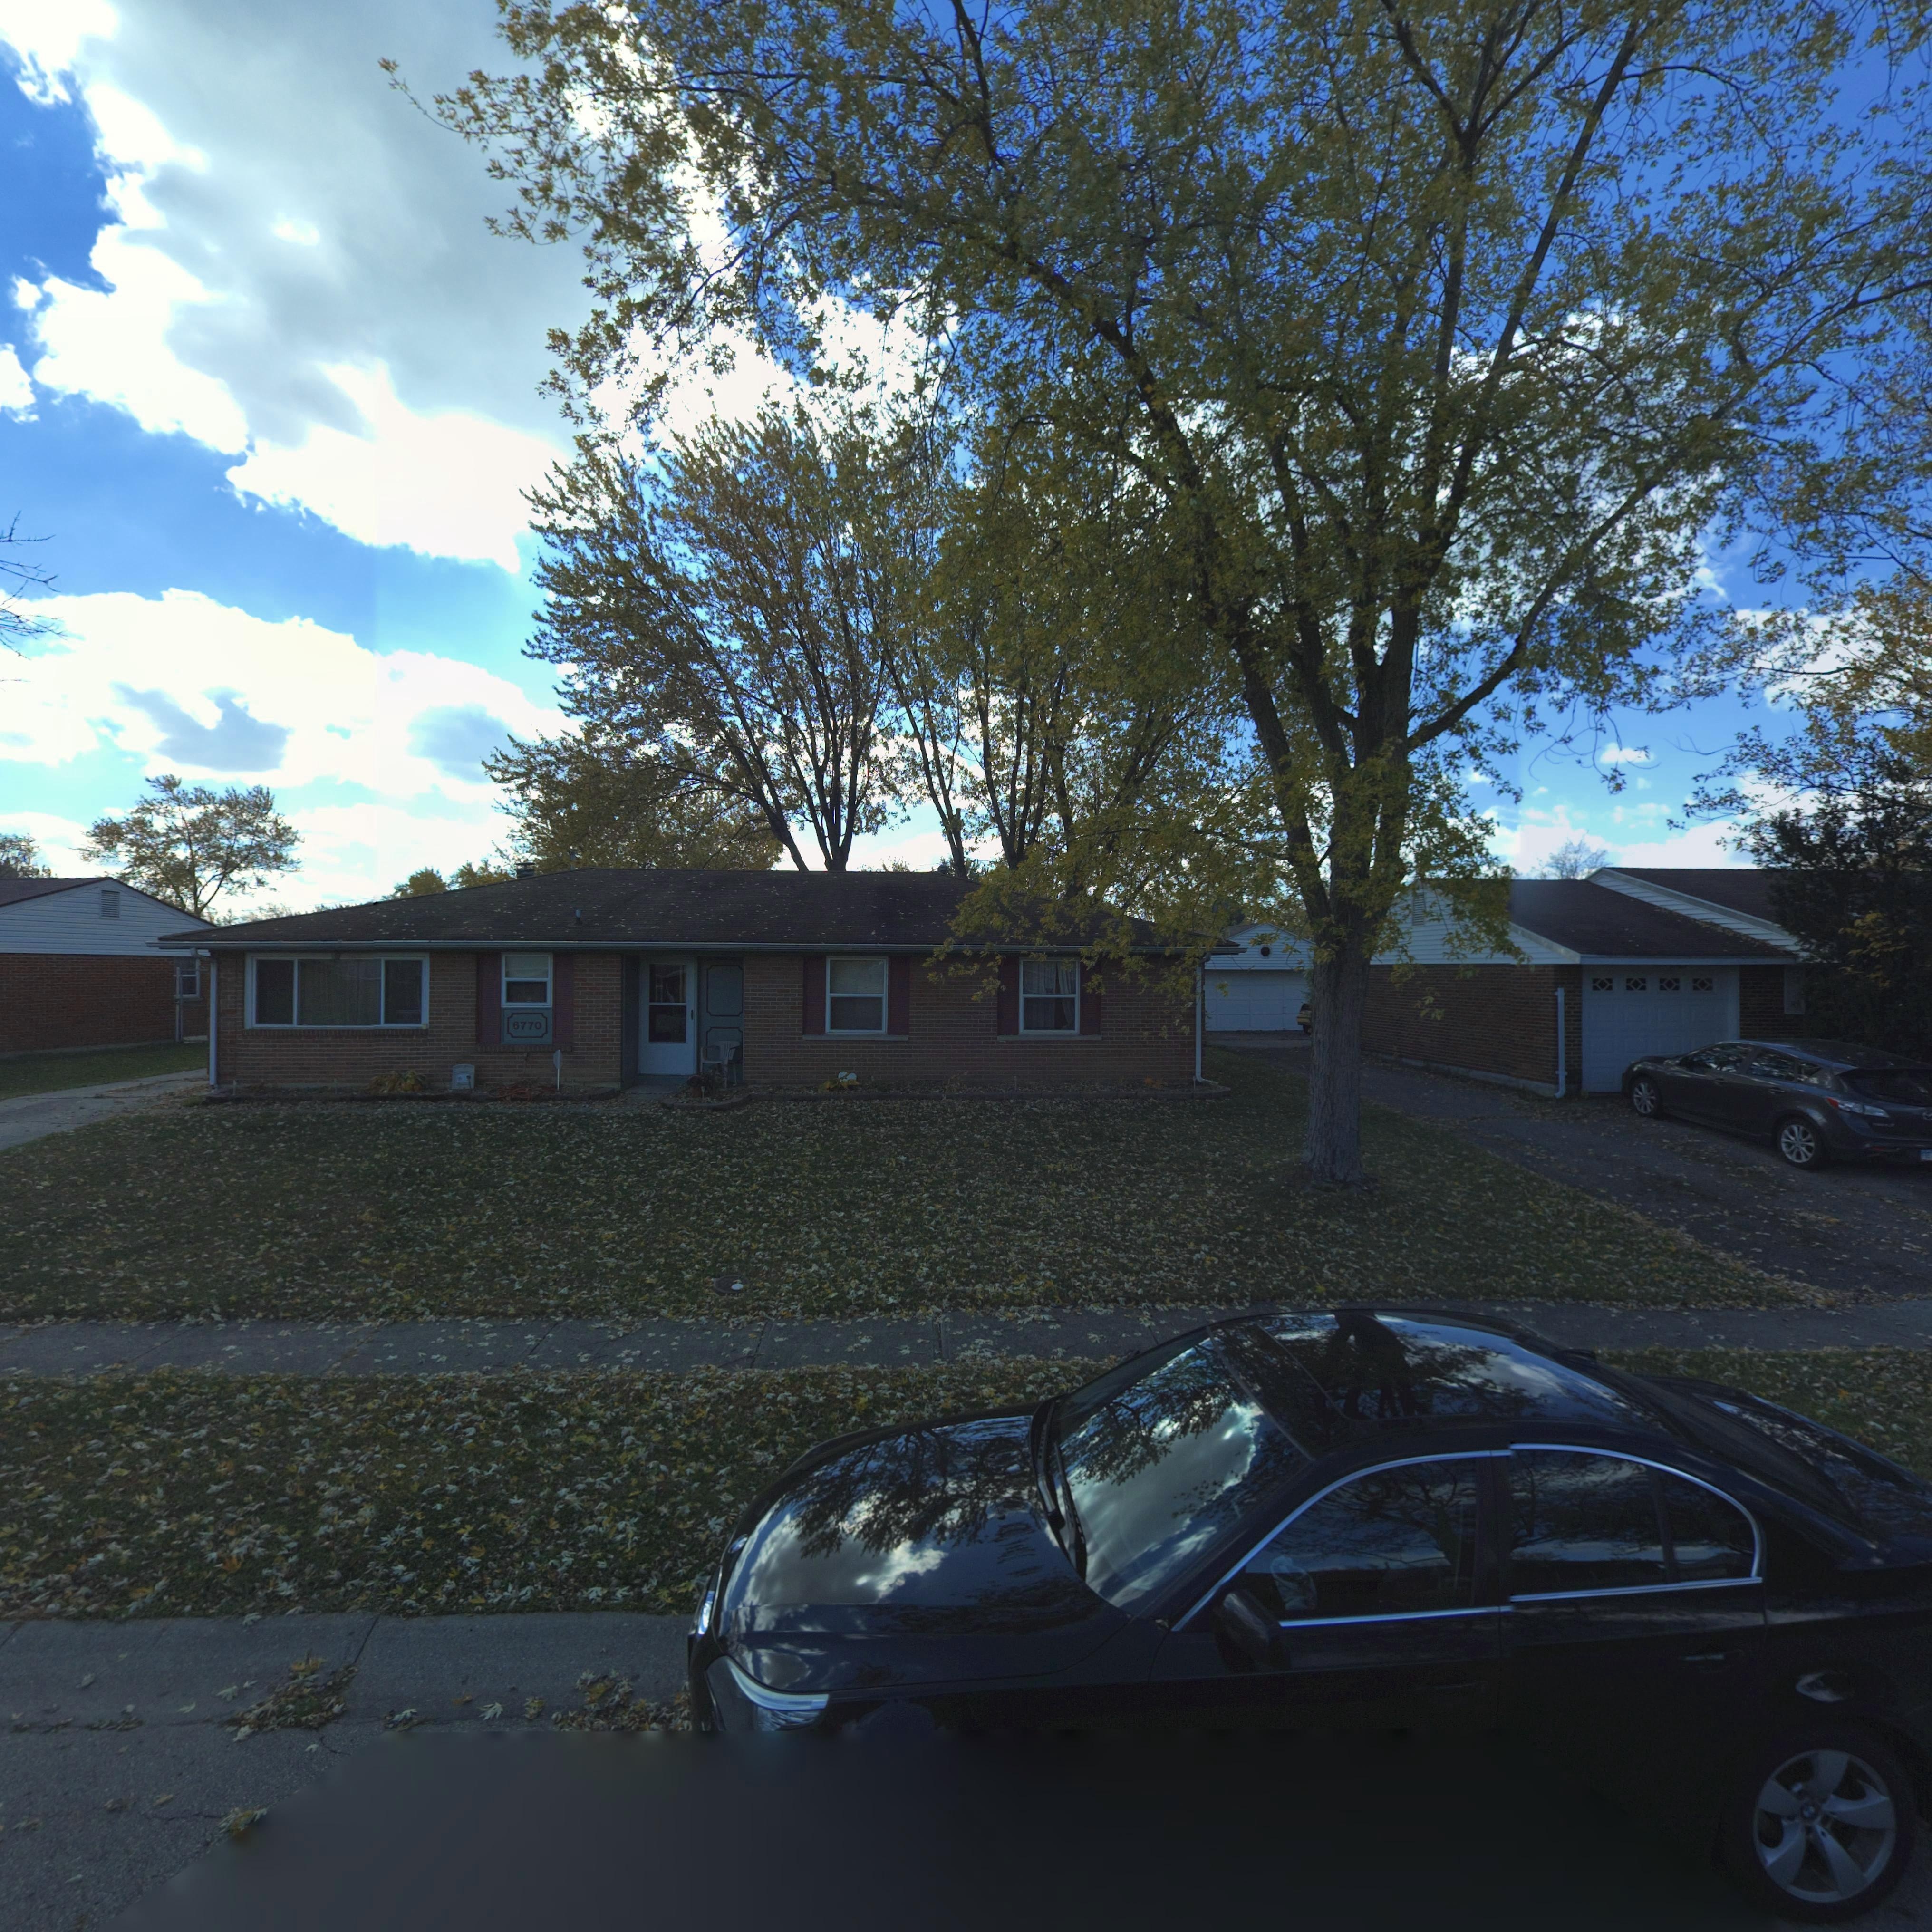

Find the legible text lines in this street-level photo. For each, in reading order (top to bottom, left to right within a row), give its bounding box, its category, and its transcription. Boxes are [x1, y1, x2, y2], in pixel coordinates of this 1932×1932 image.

[512, 1020, 542, 1031] StreetNumber: 6770